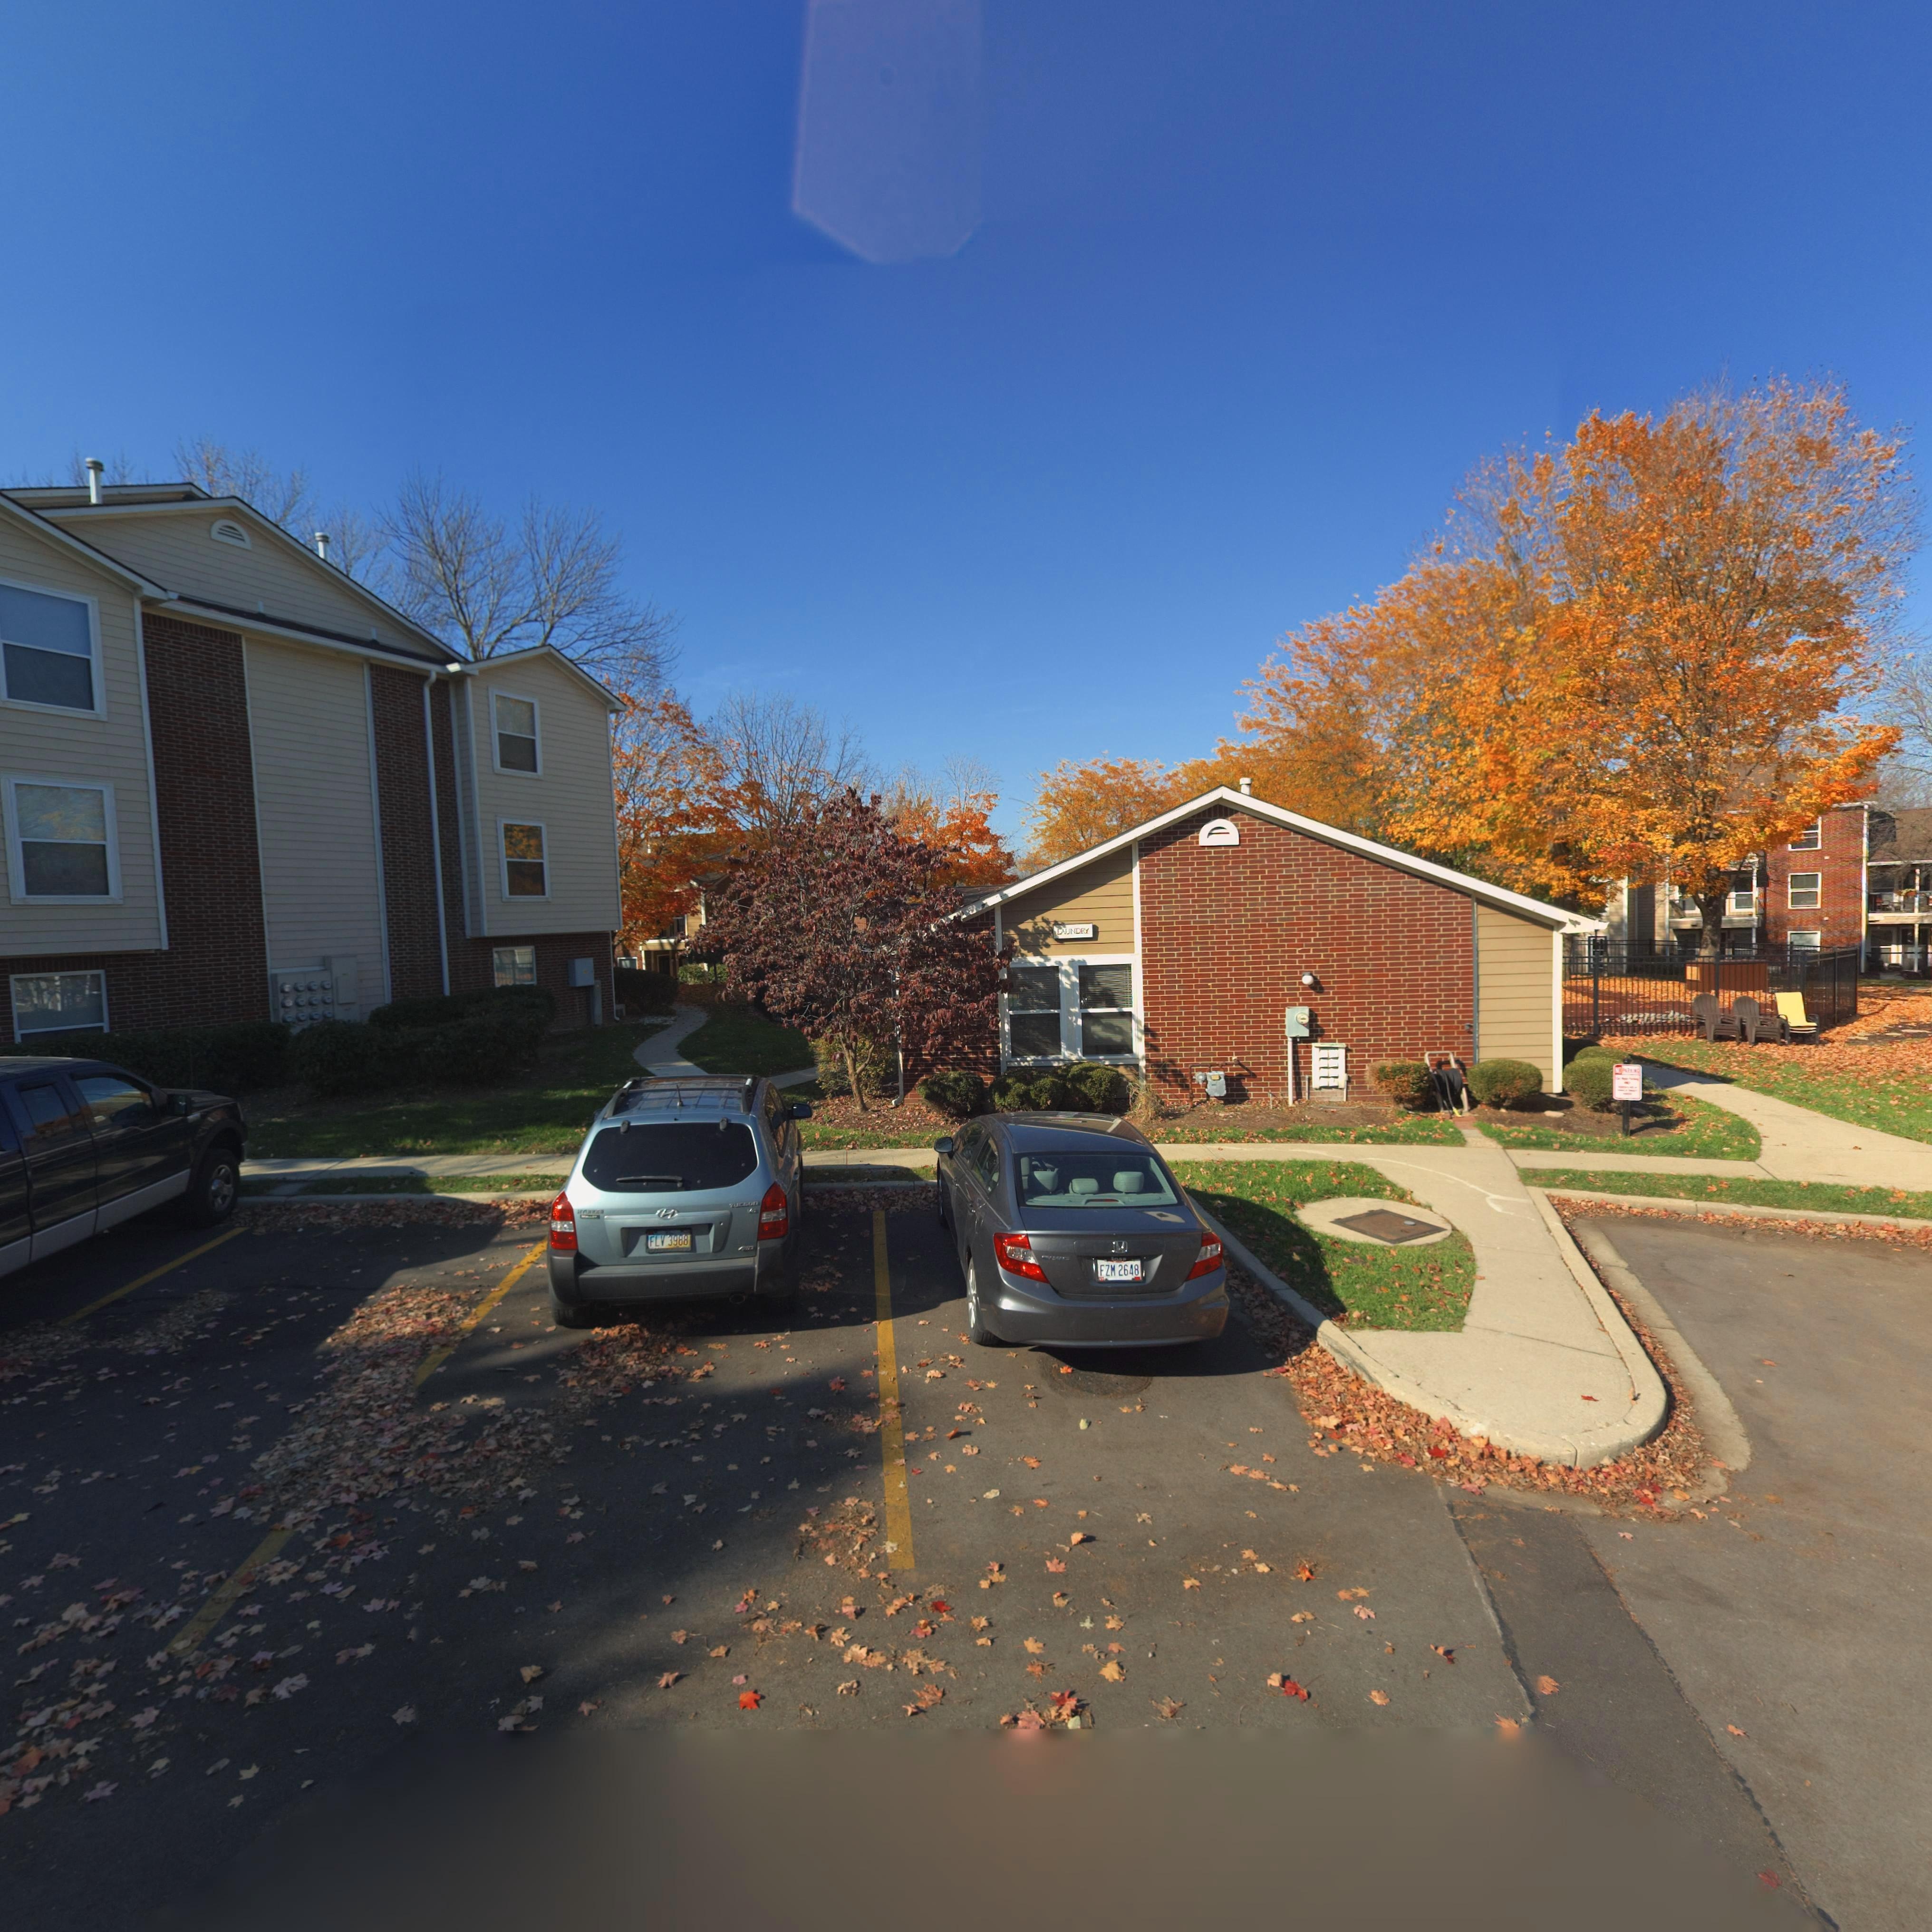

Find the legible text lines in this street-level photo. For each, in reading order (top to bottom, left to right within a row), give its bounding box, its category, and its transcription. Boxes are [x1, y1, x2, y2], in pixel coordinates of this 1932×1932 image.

[1056, 927, 1090, 936] None: LAUNDRY
[648, 1233, 689, 1249] None: FLV 3988
[1099, 1263, 1140, 1277] None: FZM 2648